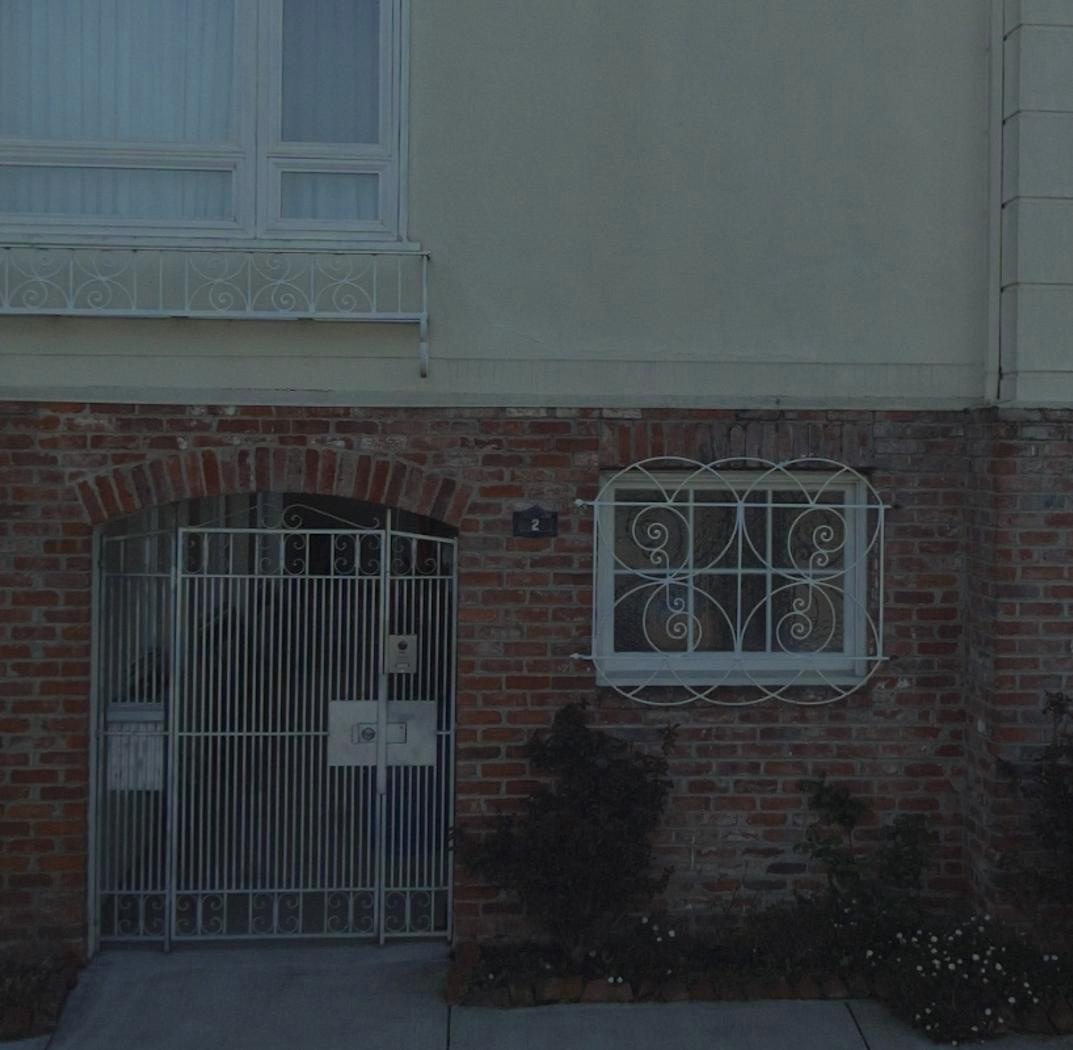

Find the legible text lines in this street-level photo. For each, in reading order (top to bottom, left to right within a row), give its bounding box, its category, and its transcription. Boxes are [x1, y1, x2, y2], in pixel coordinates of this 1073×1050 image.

[530, 516, 541, 532] StreetNumber: 2